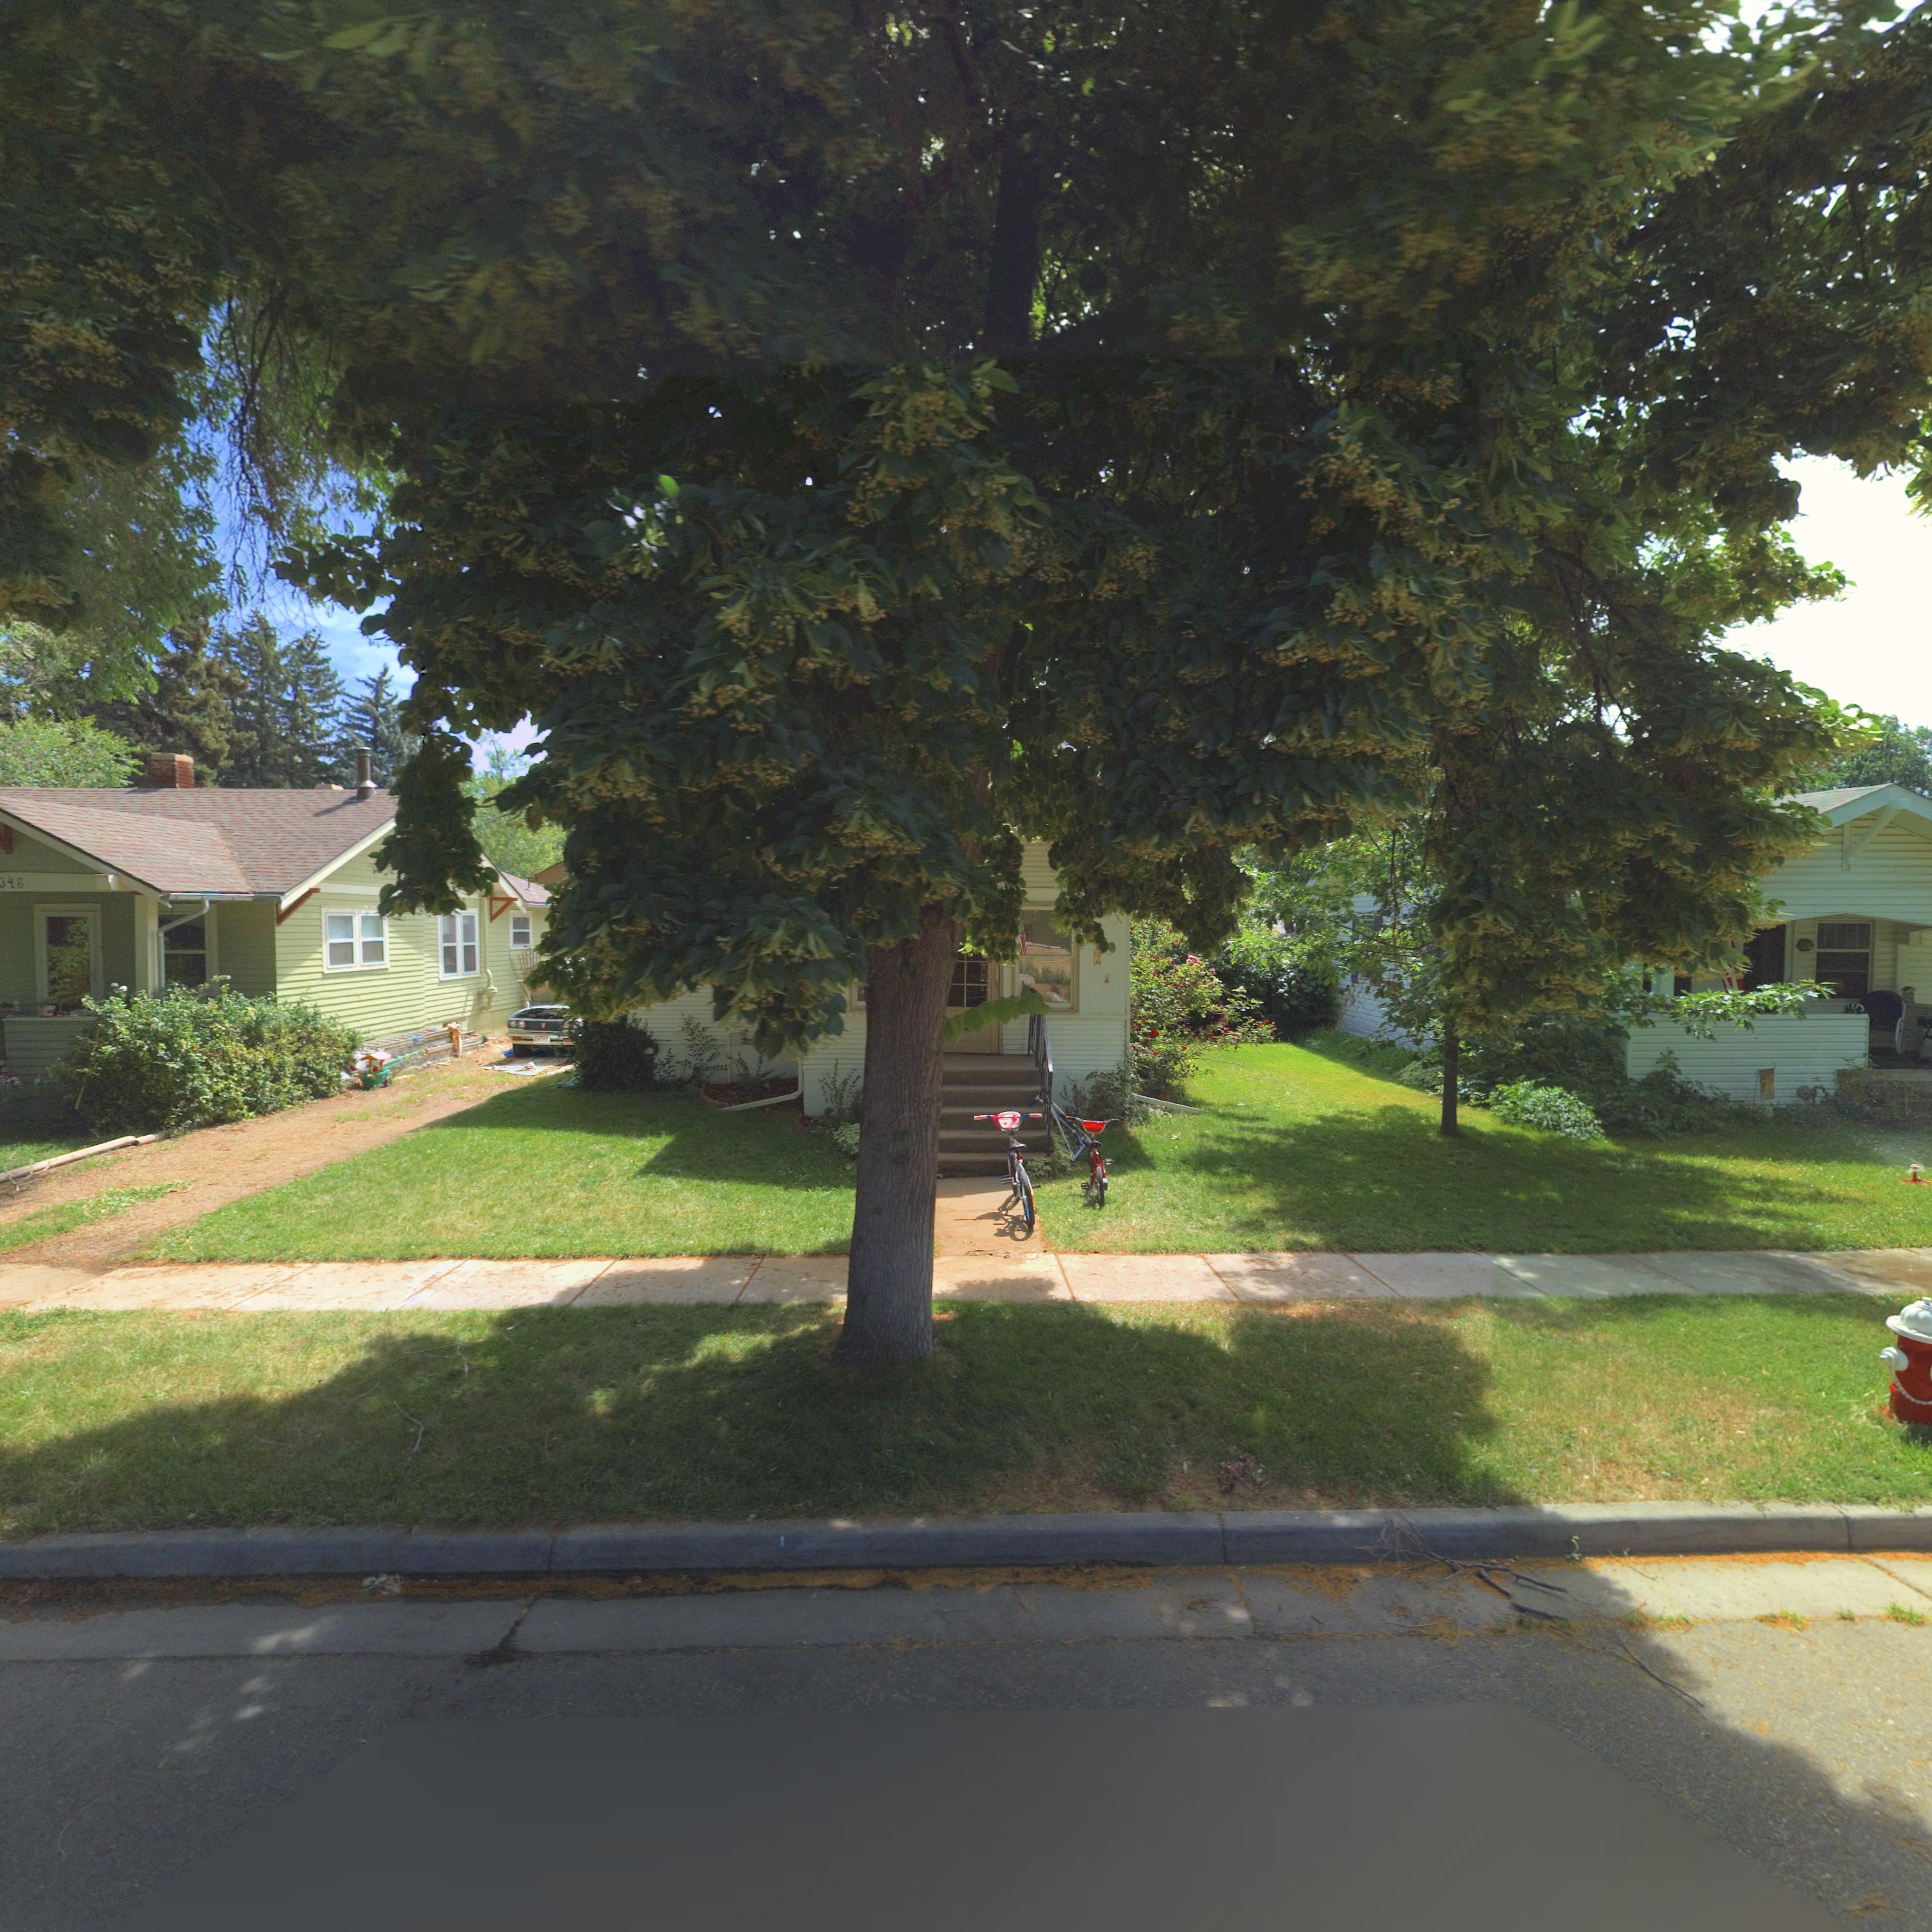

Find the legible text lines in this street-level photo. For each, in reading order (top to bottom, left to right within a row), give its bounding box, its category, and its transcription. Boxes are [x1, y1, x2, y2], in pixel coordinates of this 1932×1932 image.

[0, 875, 23, 888] StreetNumber: 346